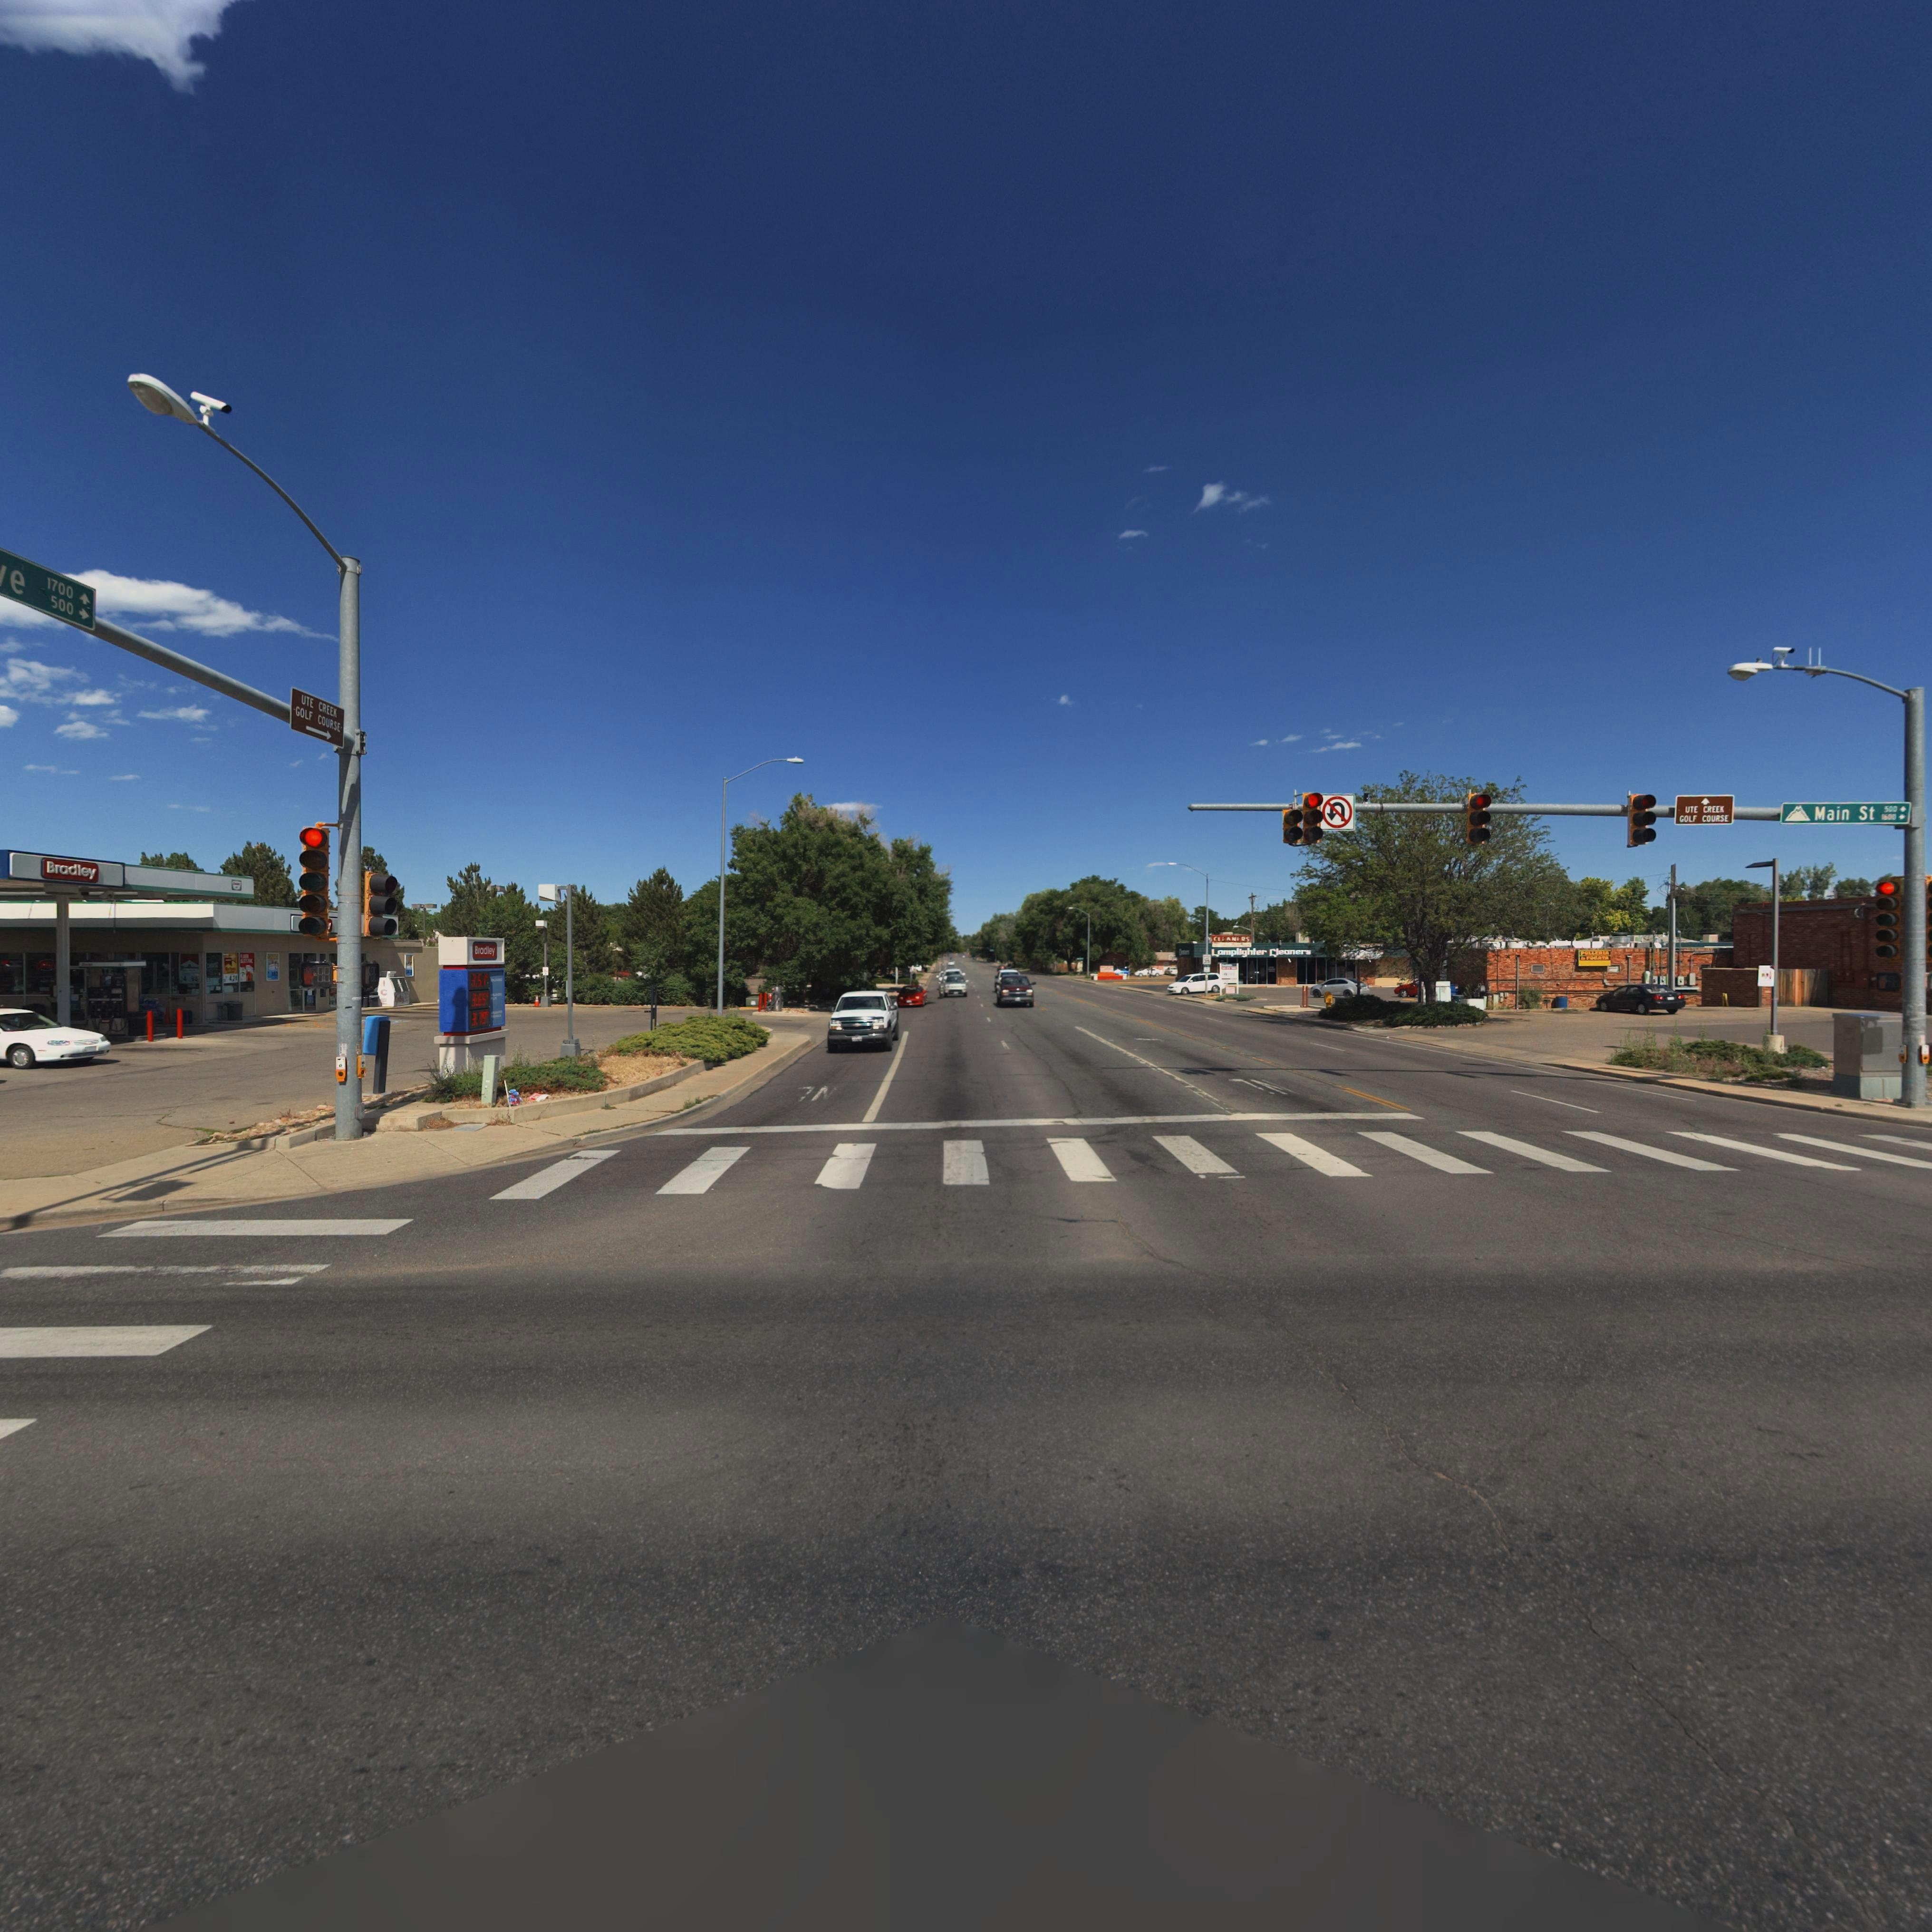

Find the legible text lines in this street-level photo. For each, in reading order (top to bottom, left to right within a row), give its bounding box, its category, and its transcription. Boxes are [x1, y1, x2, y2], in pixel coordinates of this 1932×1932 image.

[8, 567, 28, 597] StreetName: e
[46, 576, 74, 599] StreetNumberRange: 1700
[50, 593, 90, 621] StreetNumberRange: 500 ->
[1813, 805, 1876, 821] StreetName: Main St
[1884, 805, 1898, 813] StreetNumberRange: 500
[1879, 813, 1905, 820] StreetNumberRange: 1*00 ->
[45, 860, 97, 880] BusinessName: Bradley
[232, 881, 241, 885] BusinessName: S*******
[473, 945, 496, 956] BusinessName: Bradley
[1210, 947, 1312, 957] BusinessName: Lamplighter Cleaners
[1580, 951, 1609, 955] BusinessName: POLLERIA
[1580, 956, 1610, 960] BusinessName: ** FOGATA
[81, 962, 93, 966] BusinessName: S******r